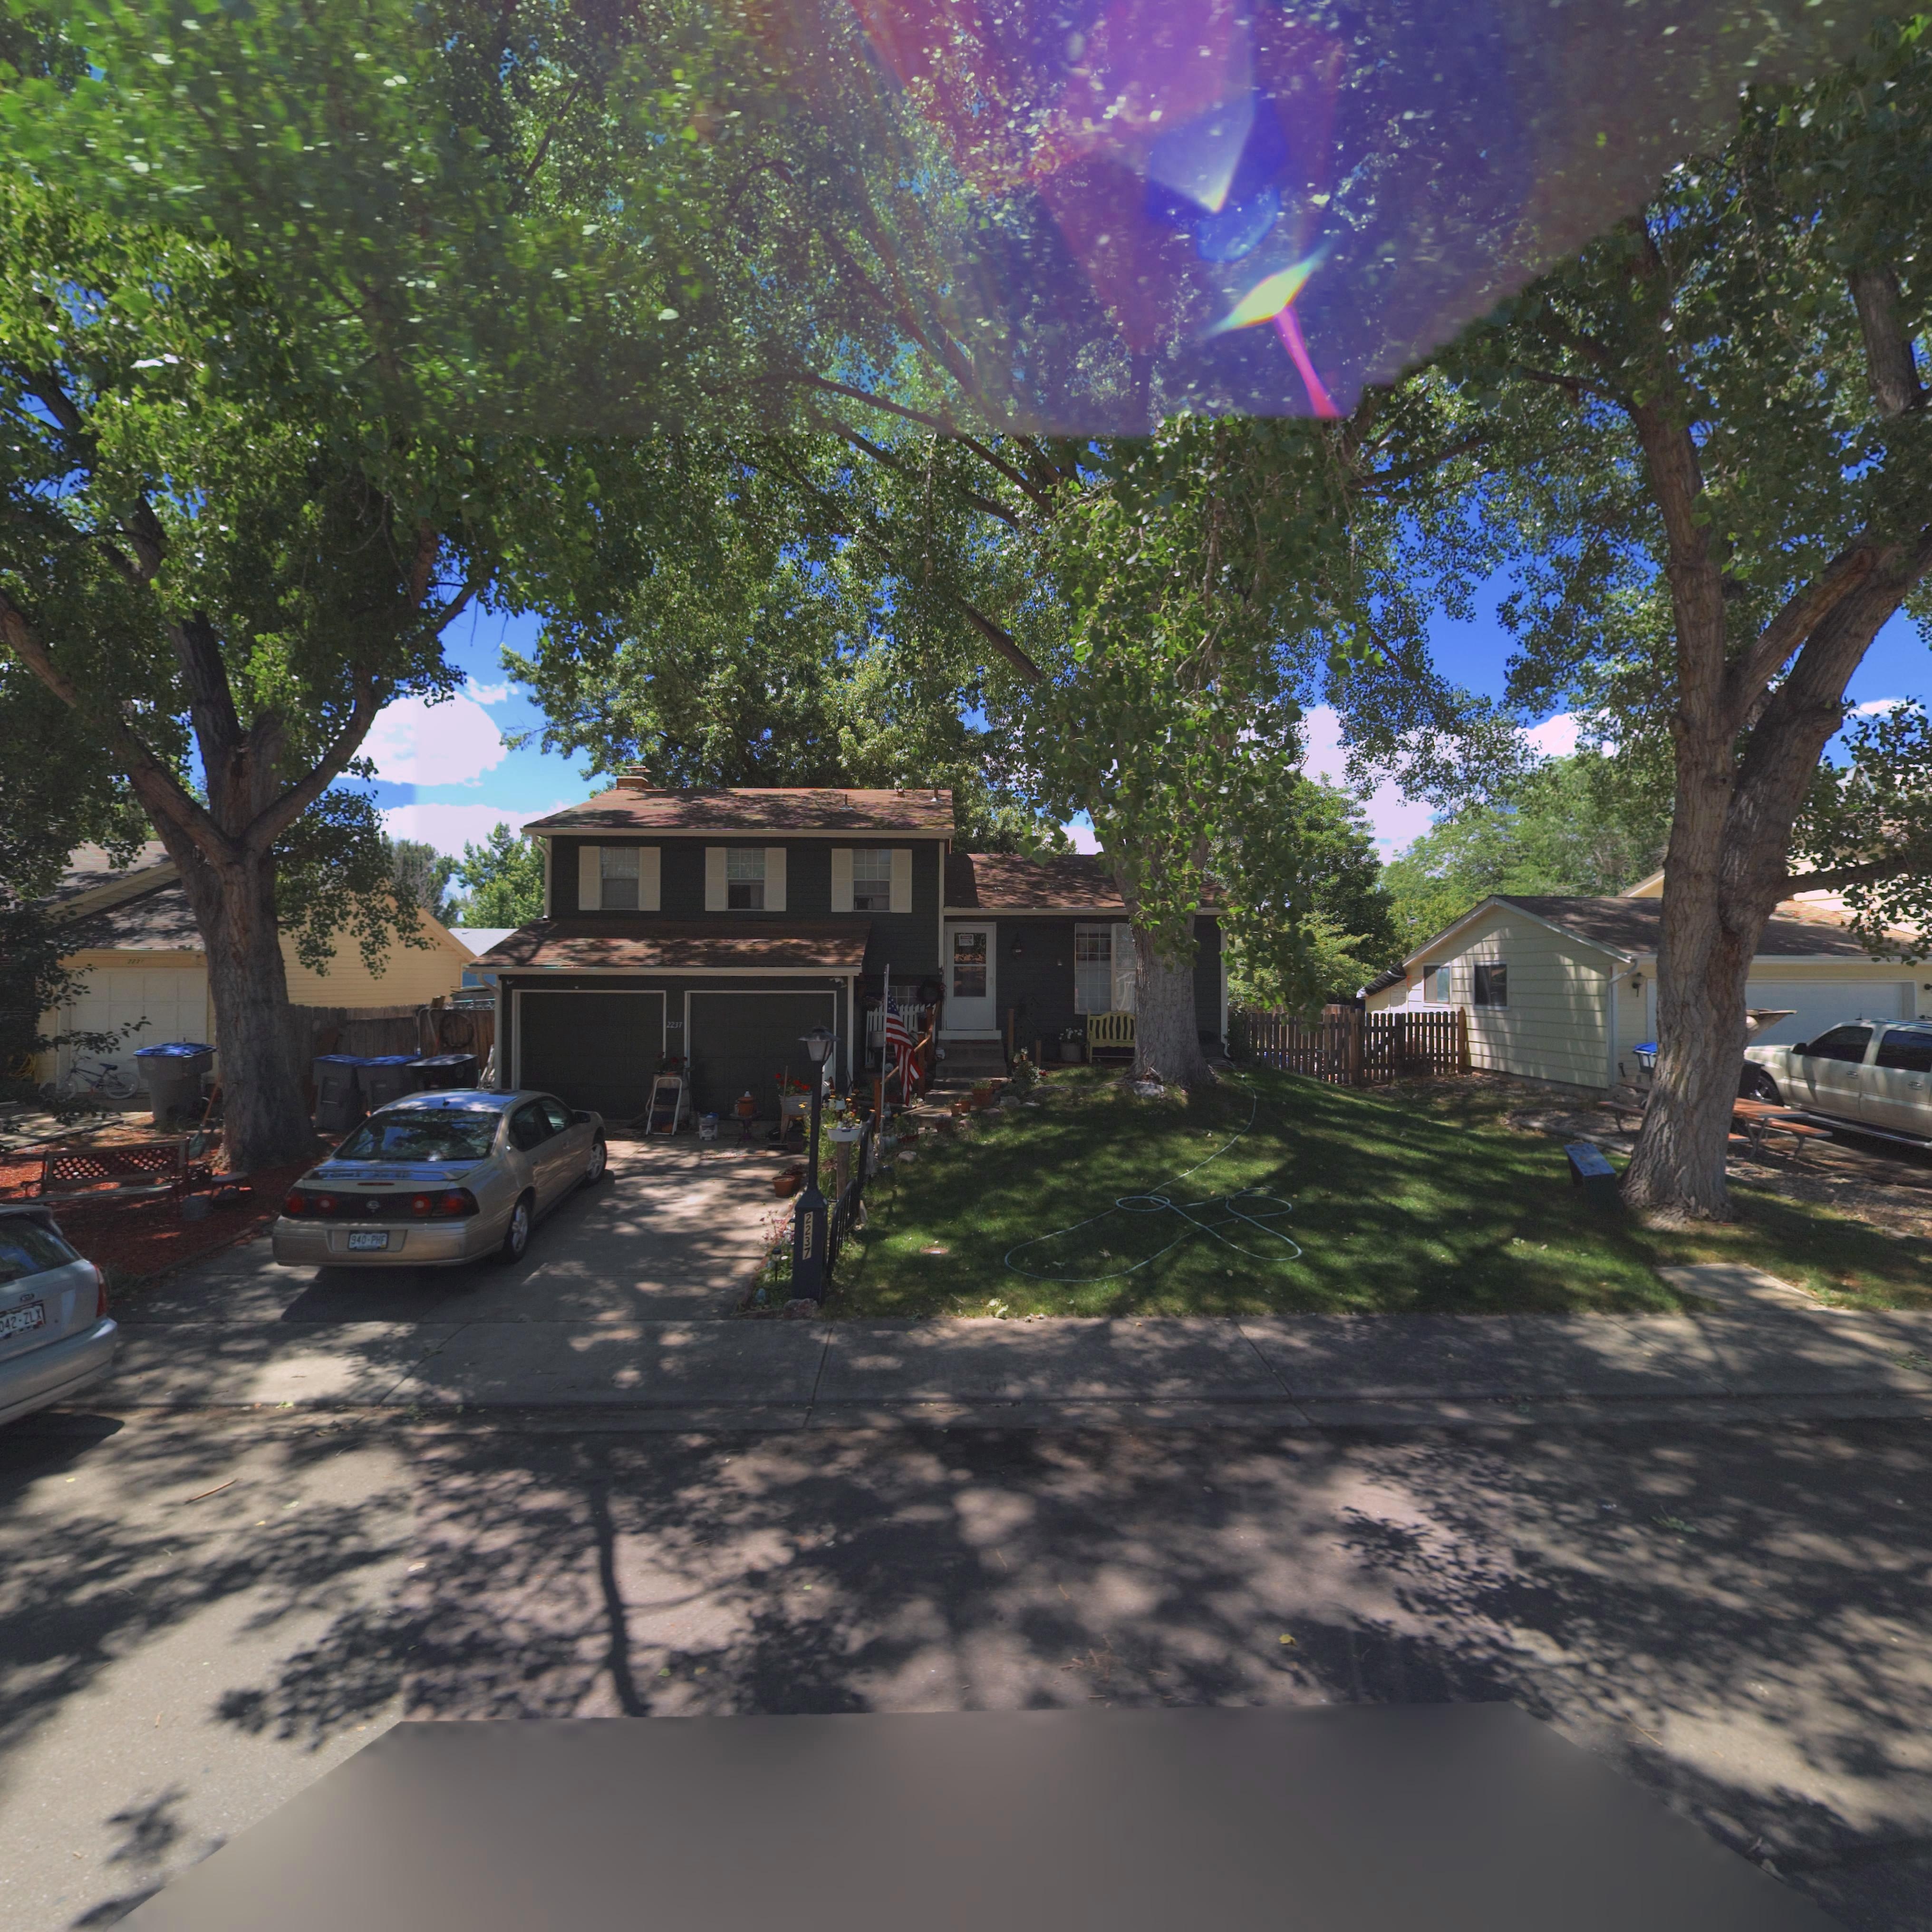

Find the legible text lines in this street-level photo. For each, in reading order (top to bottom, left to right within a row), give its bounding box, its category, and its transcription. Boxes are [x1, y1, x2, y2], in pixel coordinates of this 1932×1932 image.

[666, 1021, 683, 1028] StreetNumber: 2237
[803, 1213, 811, 1259] StreetNumber: 2237